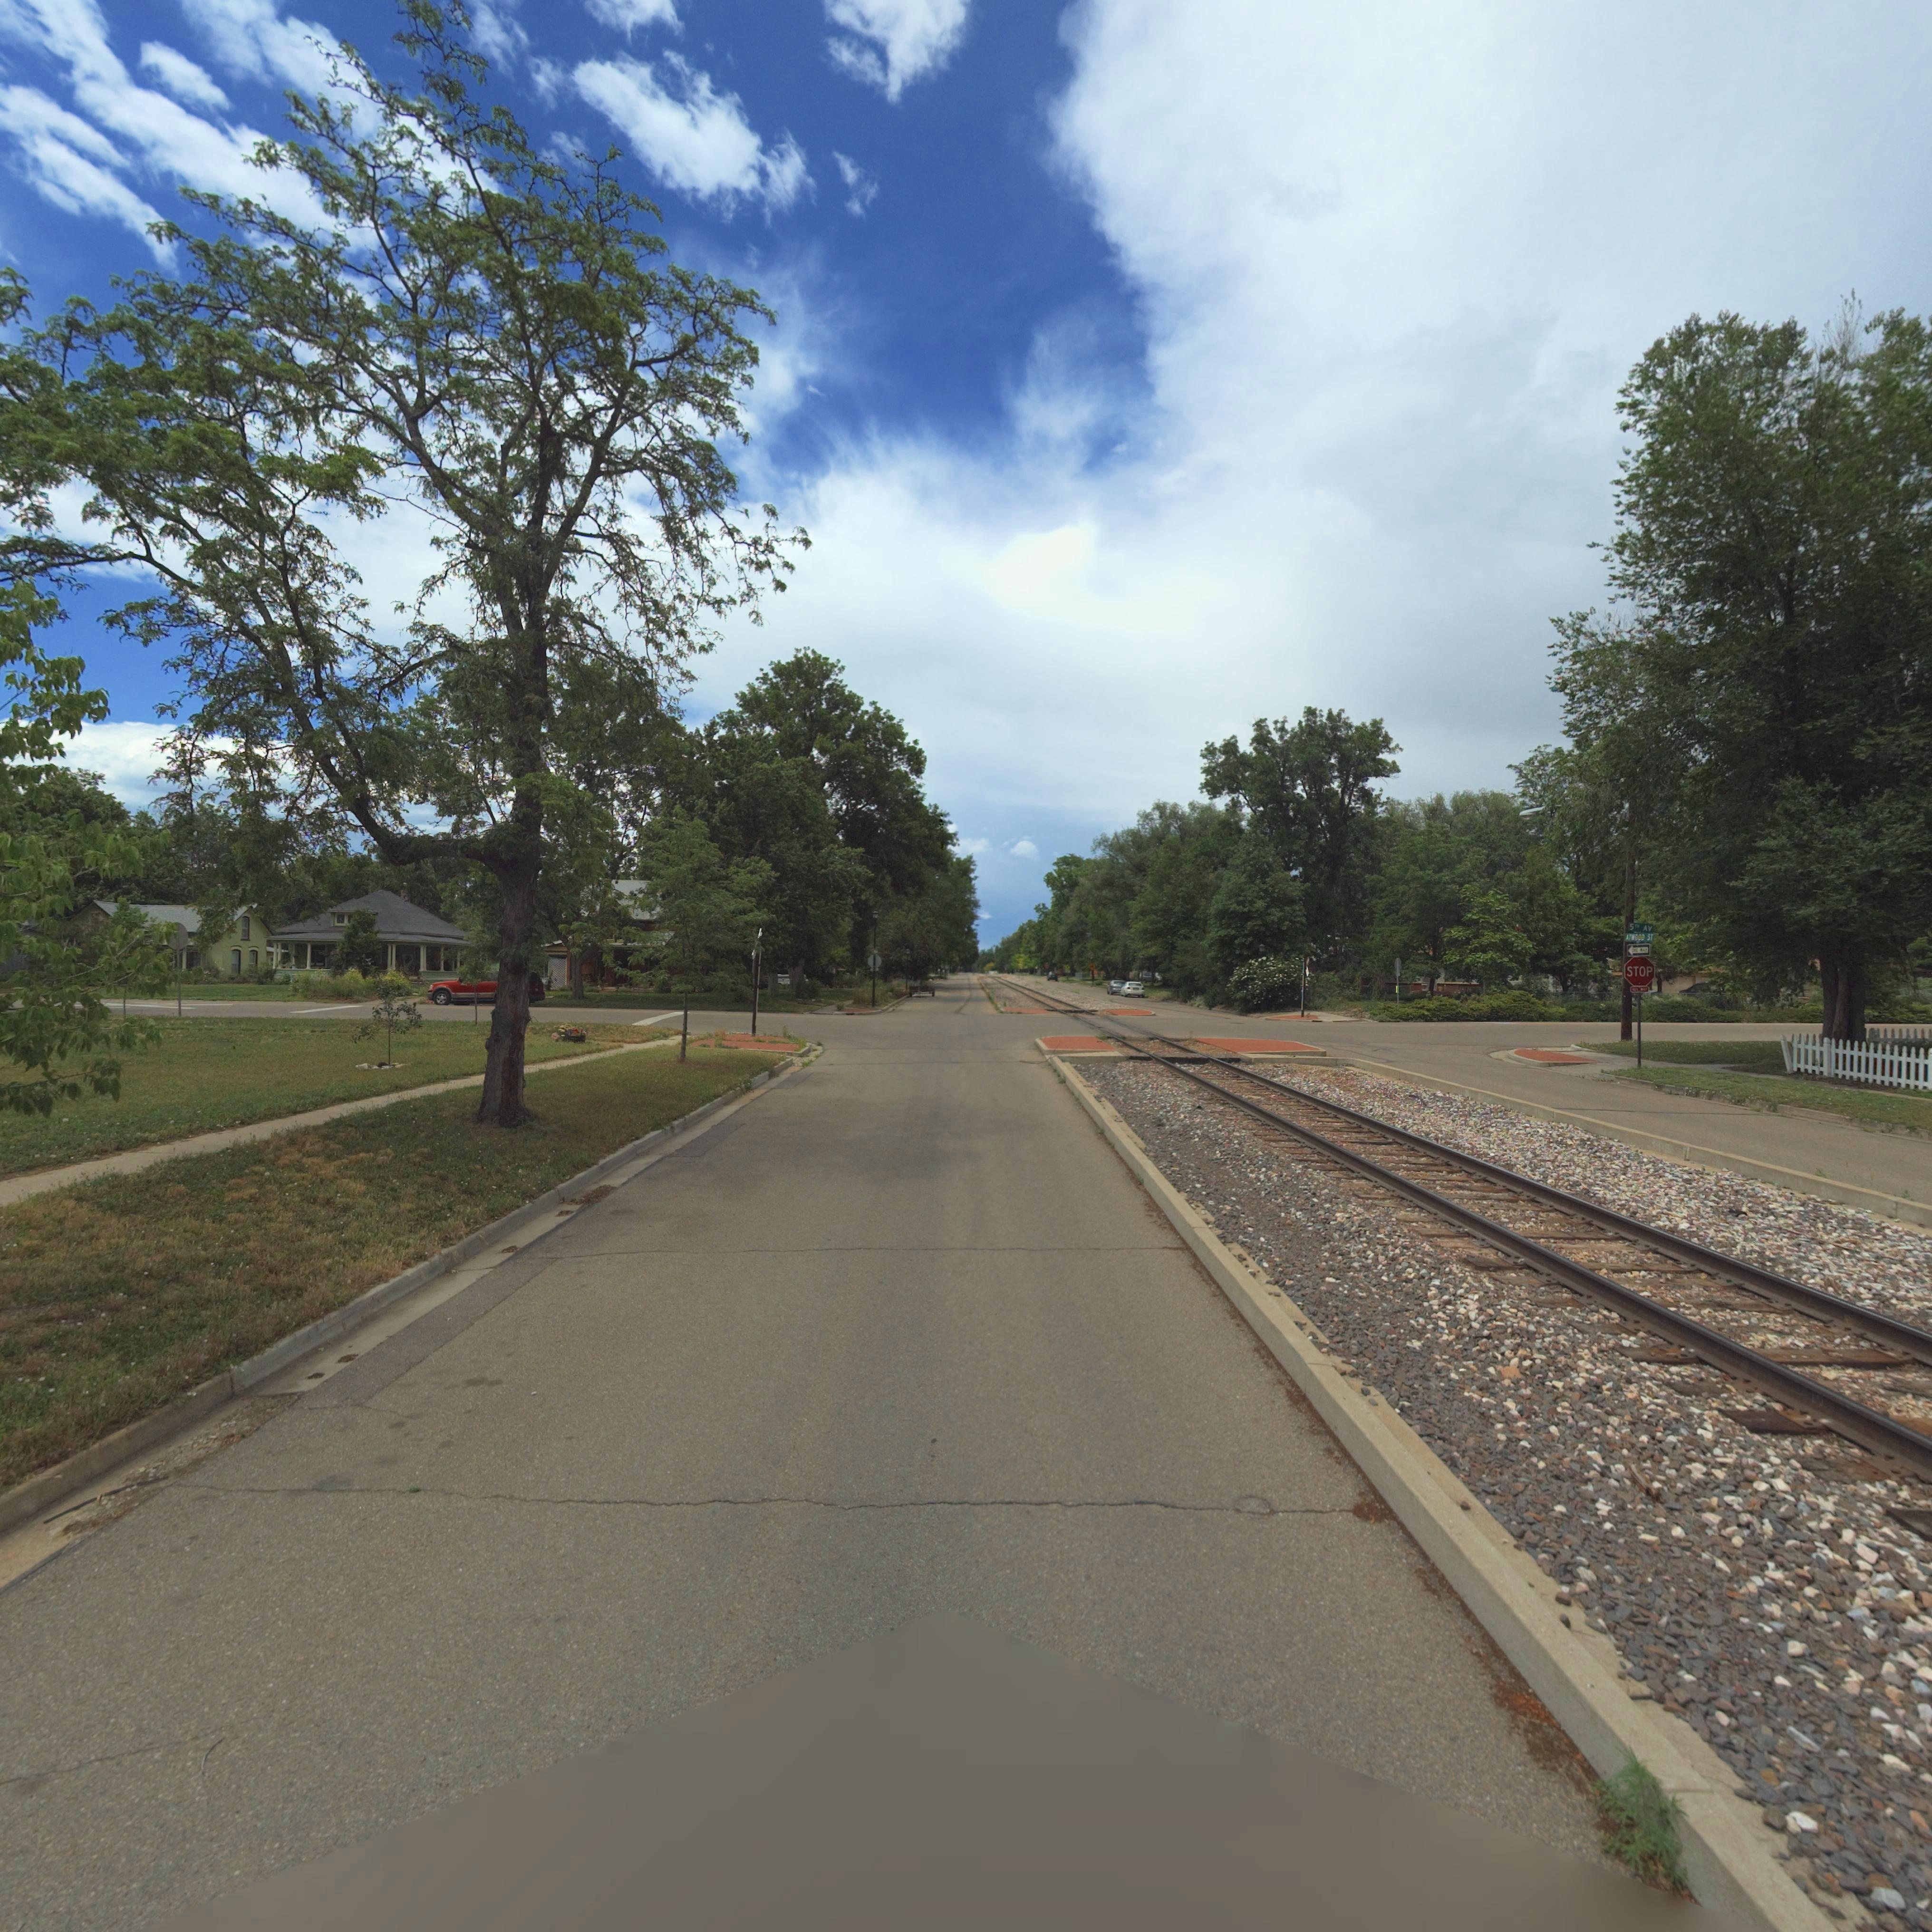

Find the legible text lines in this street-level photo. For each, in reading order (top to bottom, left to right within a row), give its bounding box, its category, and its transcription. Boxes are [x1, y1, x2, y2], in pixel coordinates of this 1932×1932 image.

[1629, 923, 1653, 932] StreetName: 5TH AV
[1625, 933, 1654, 940] StreetName: ATW*** ST